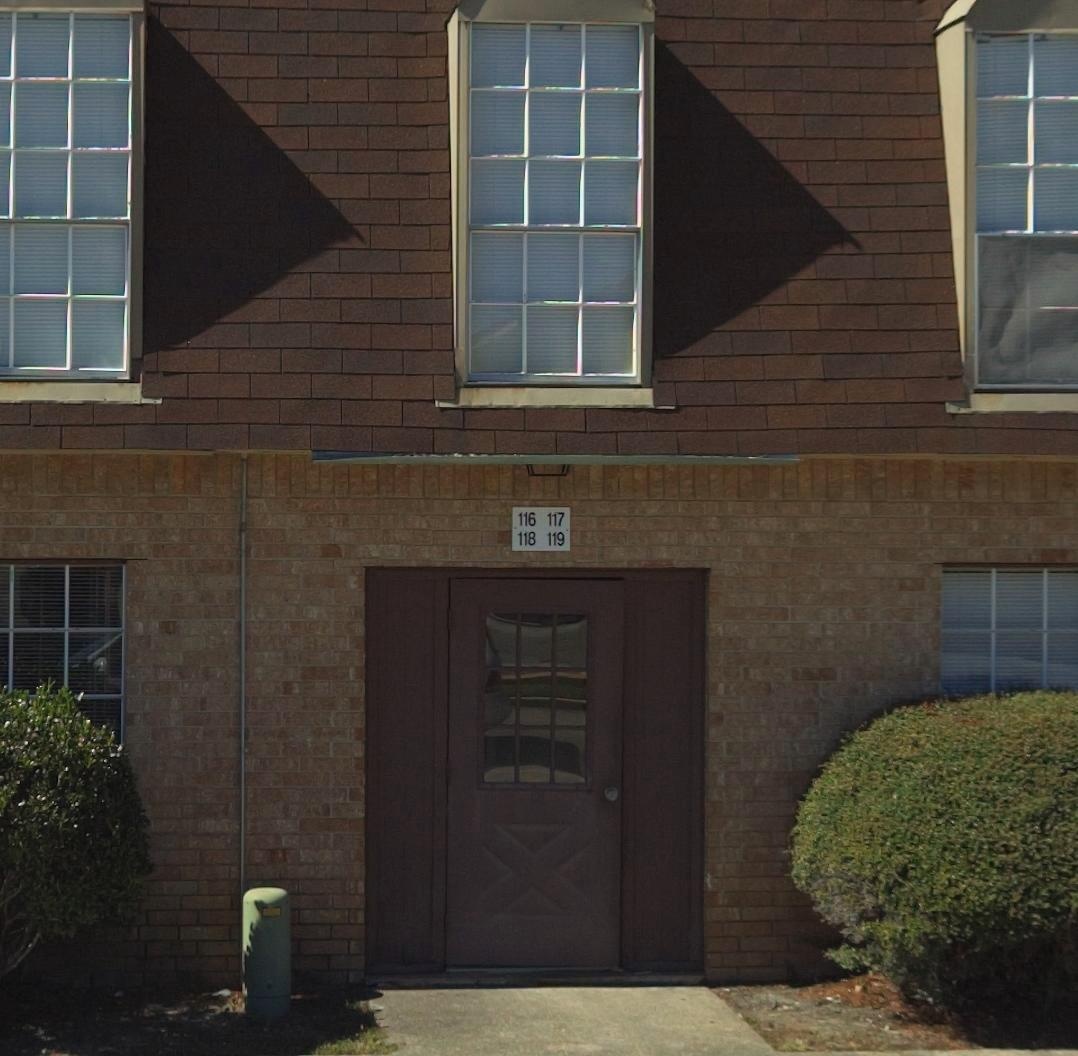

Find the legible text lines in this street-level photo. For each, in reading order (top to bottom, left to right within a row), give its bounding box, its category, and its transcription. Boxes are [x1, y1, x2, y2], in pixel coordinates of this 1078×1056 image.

[515, 510, 541, 529] StreetNumber: 116
[542, 510, 567, 529] StreetNumber: 117
[515, 529, 541, 548] StreetNumber: 118
[542, 529, 567, 548] StreetNumber: 119